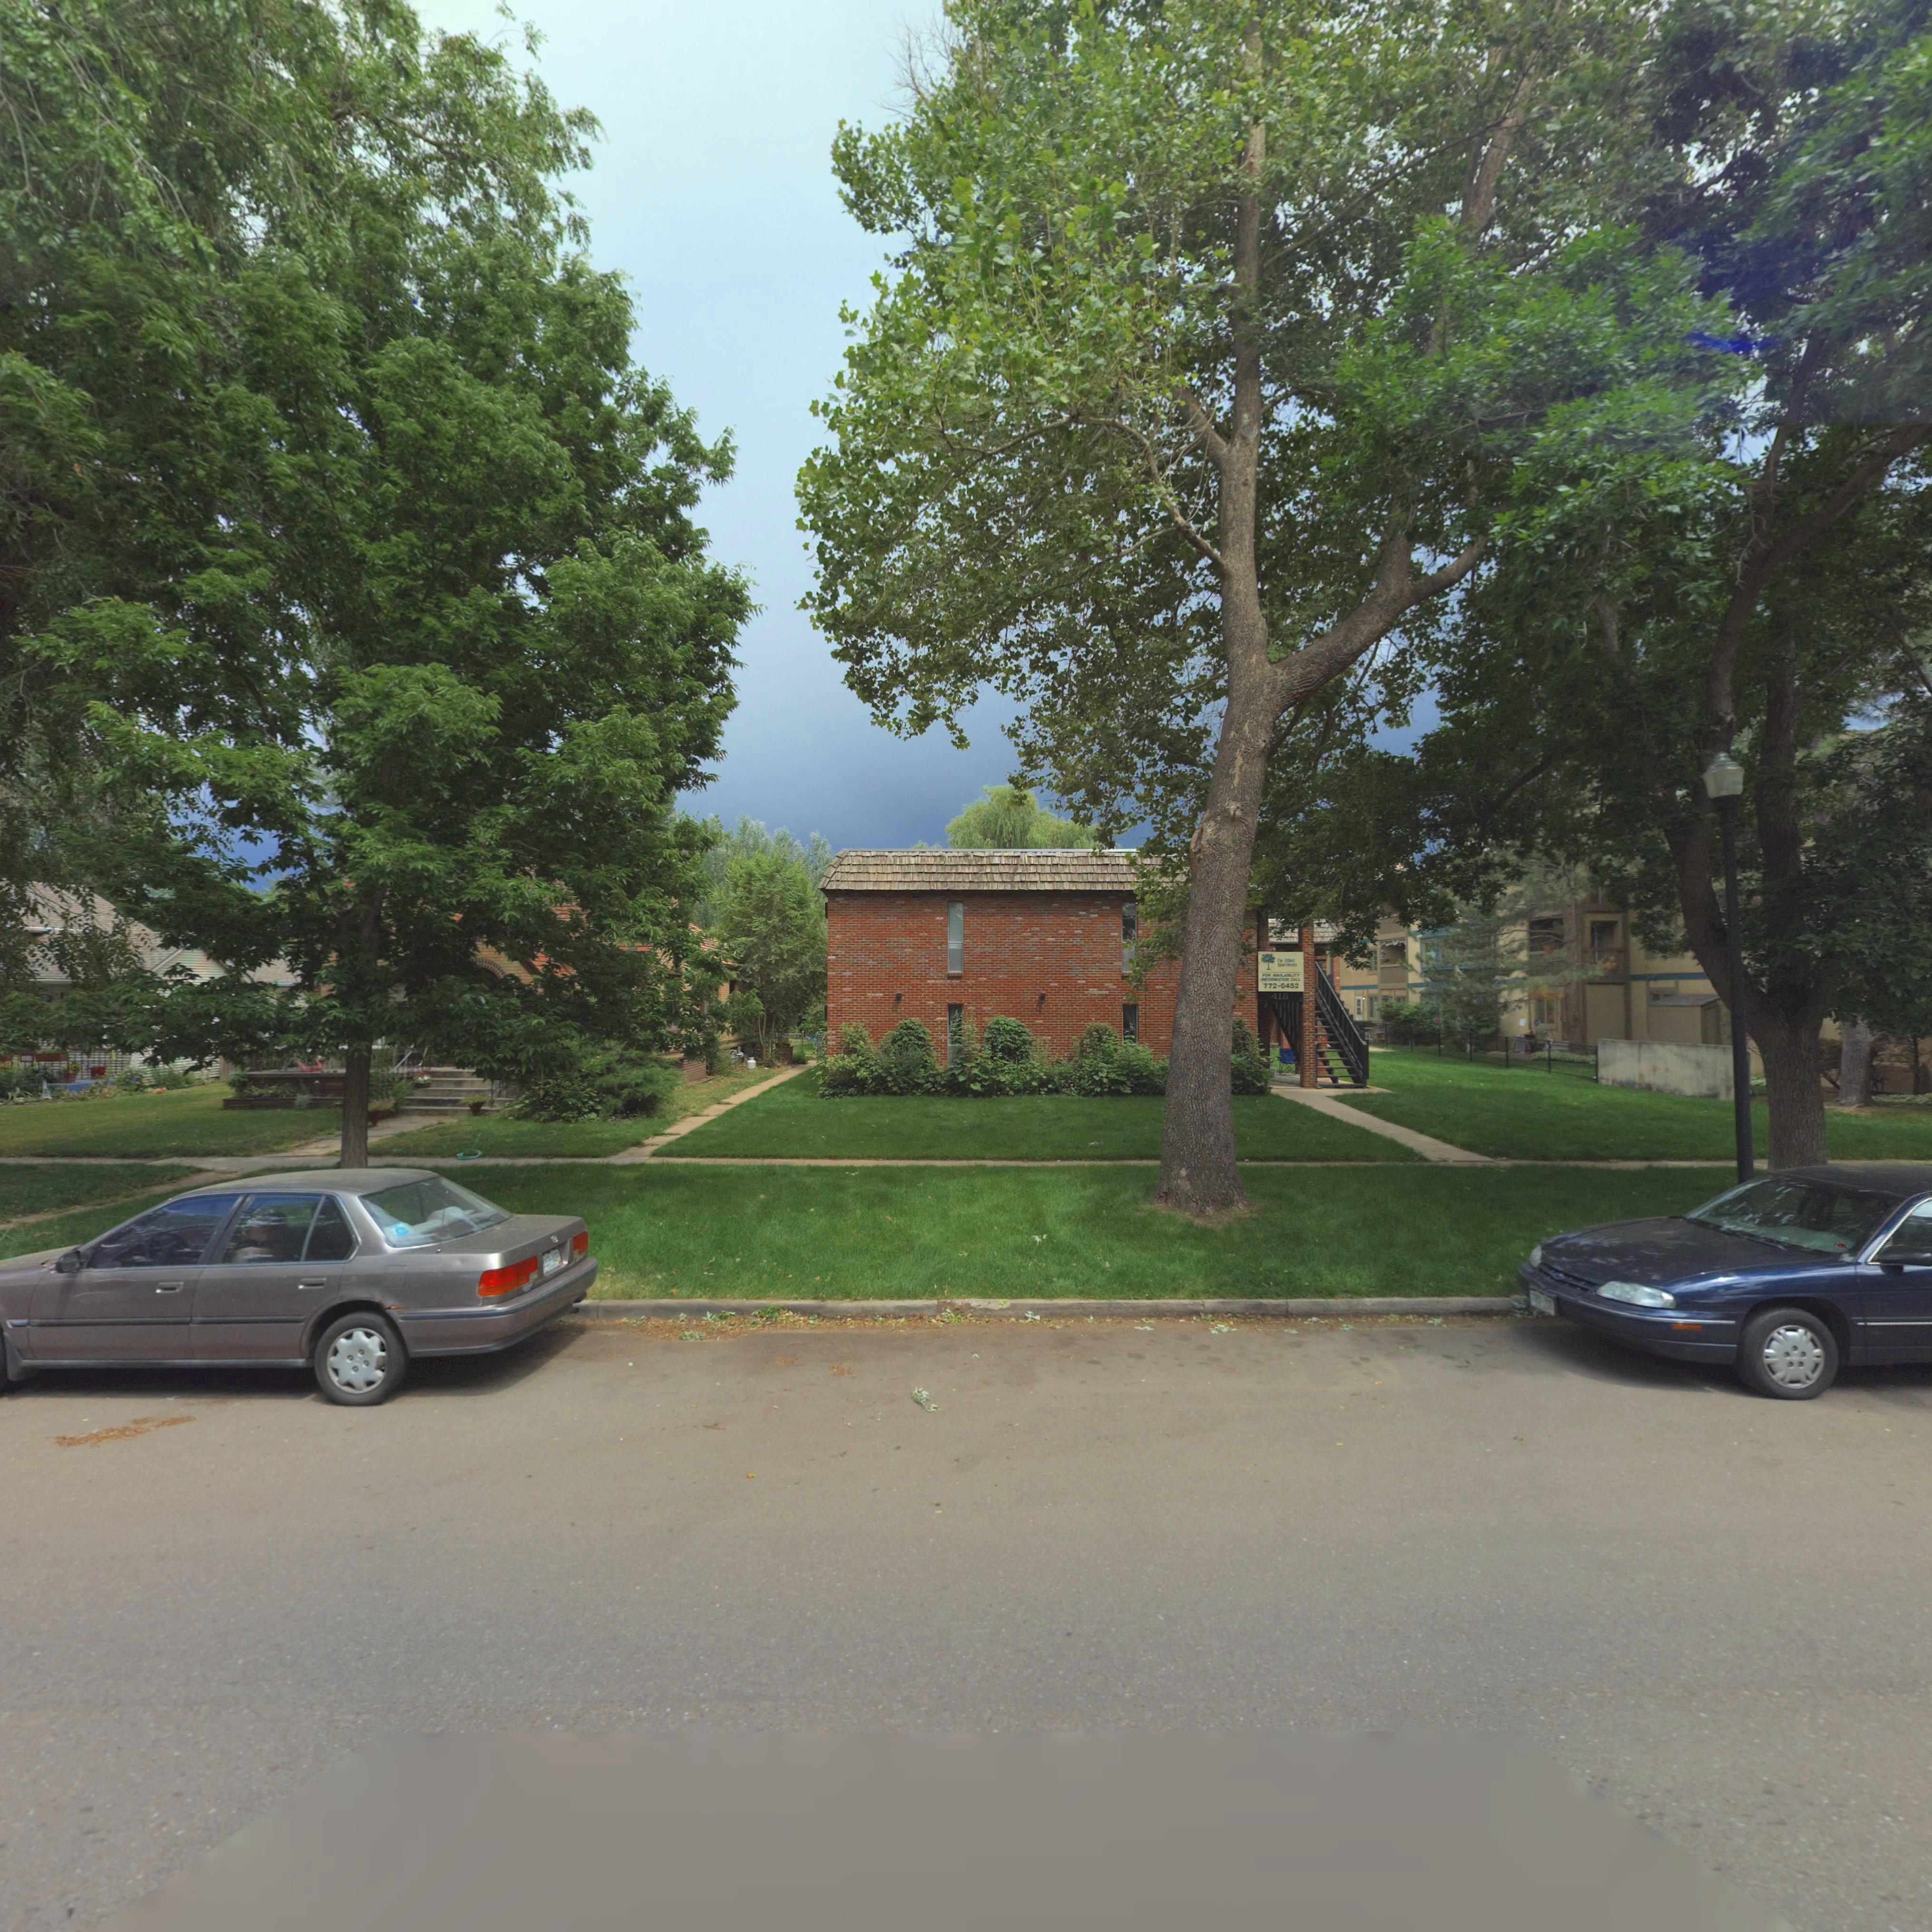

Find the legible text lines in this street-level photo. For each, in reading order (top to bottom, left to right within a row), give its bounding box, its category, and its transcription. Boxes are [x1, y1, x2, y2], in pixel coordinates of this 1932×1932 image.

[1277, 957, 1295, 963] BusinessName: The H******
[1277, 962, 1298, 967] BusinessName: Apartments
[1270, 991, 1290, 999] StreetNumber: 418